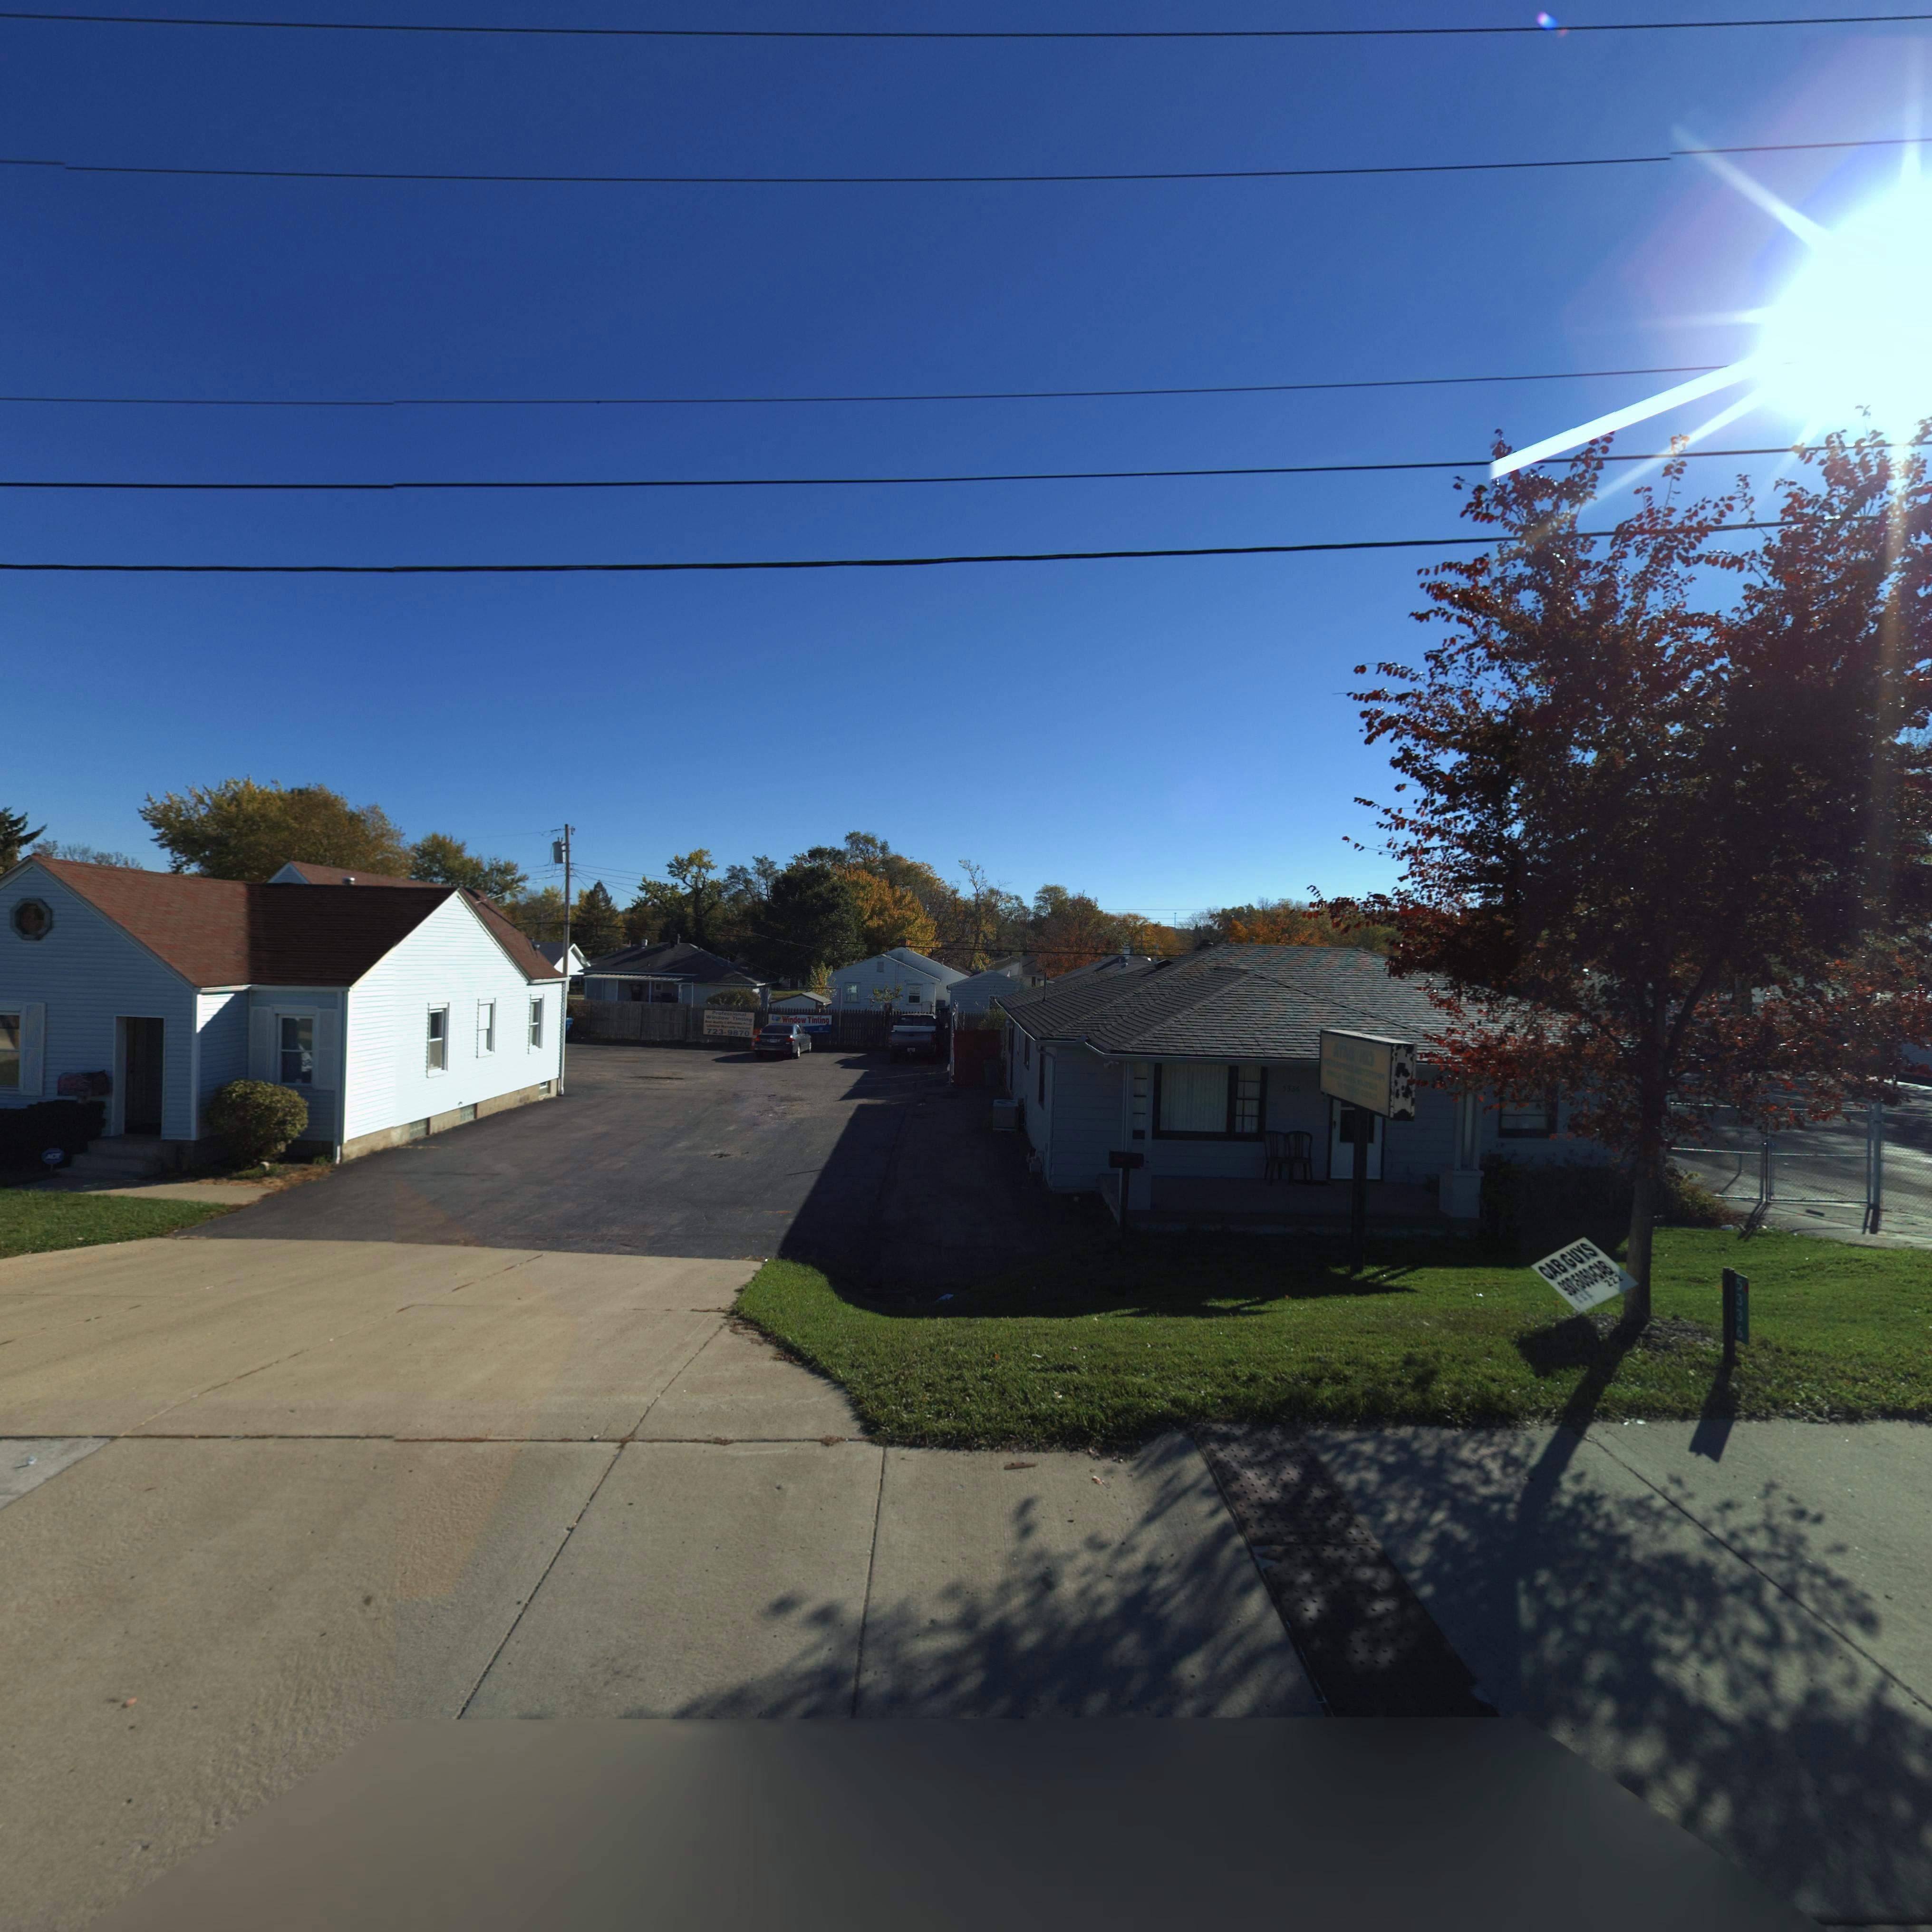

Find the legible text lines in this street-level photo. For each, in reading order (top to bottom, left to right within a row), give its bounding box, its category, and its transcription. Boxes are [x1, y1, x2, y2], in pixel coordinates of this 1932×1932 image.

[1281, 1084, 1300, 1092] StreetNumber: 5336
[1735, 1276, 1744, 1340] StreetNumber: 5336